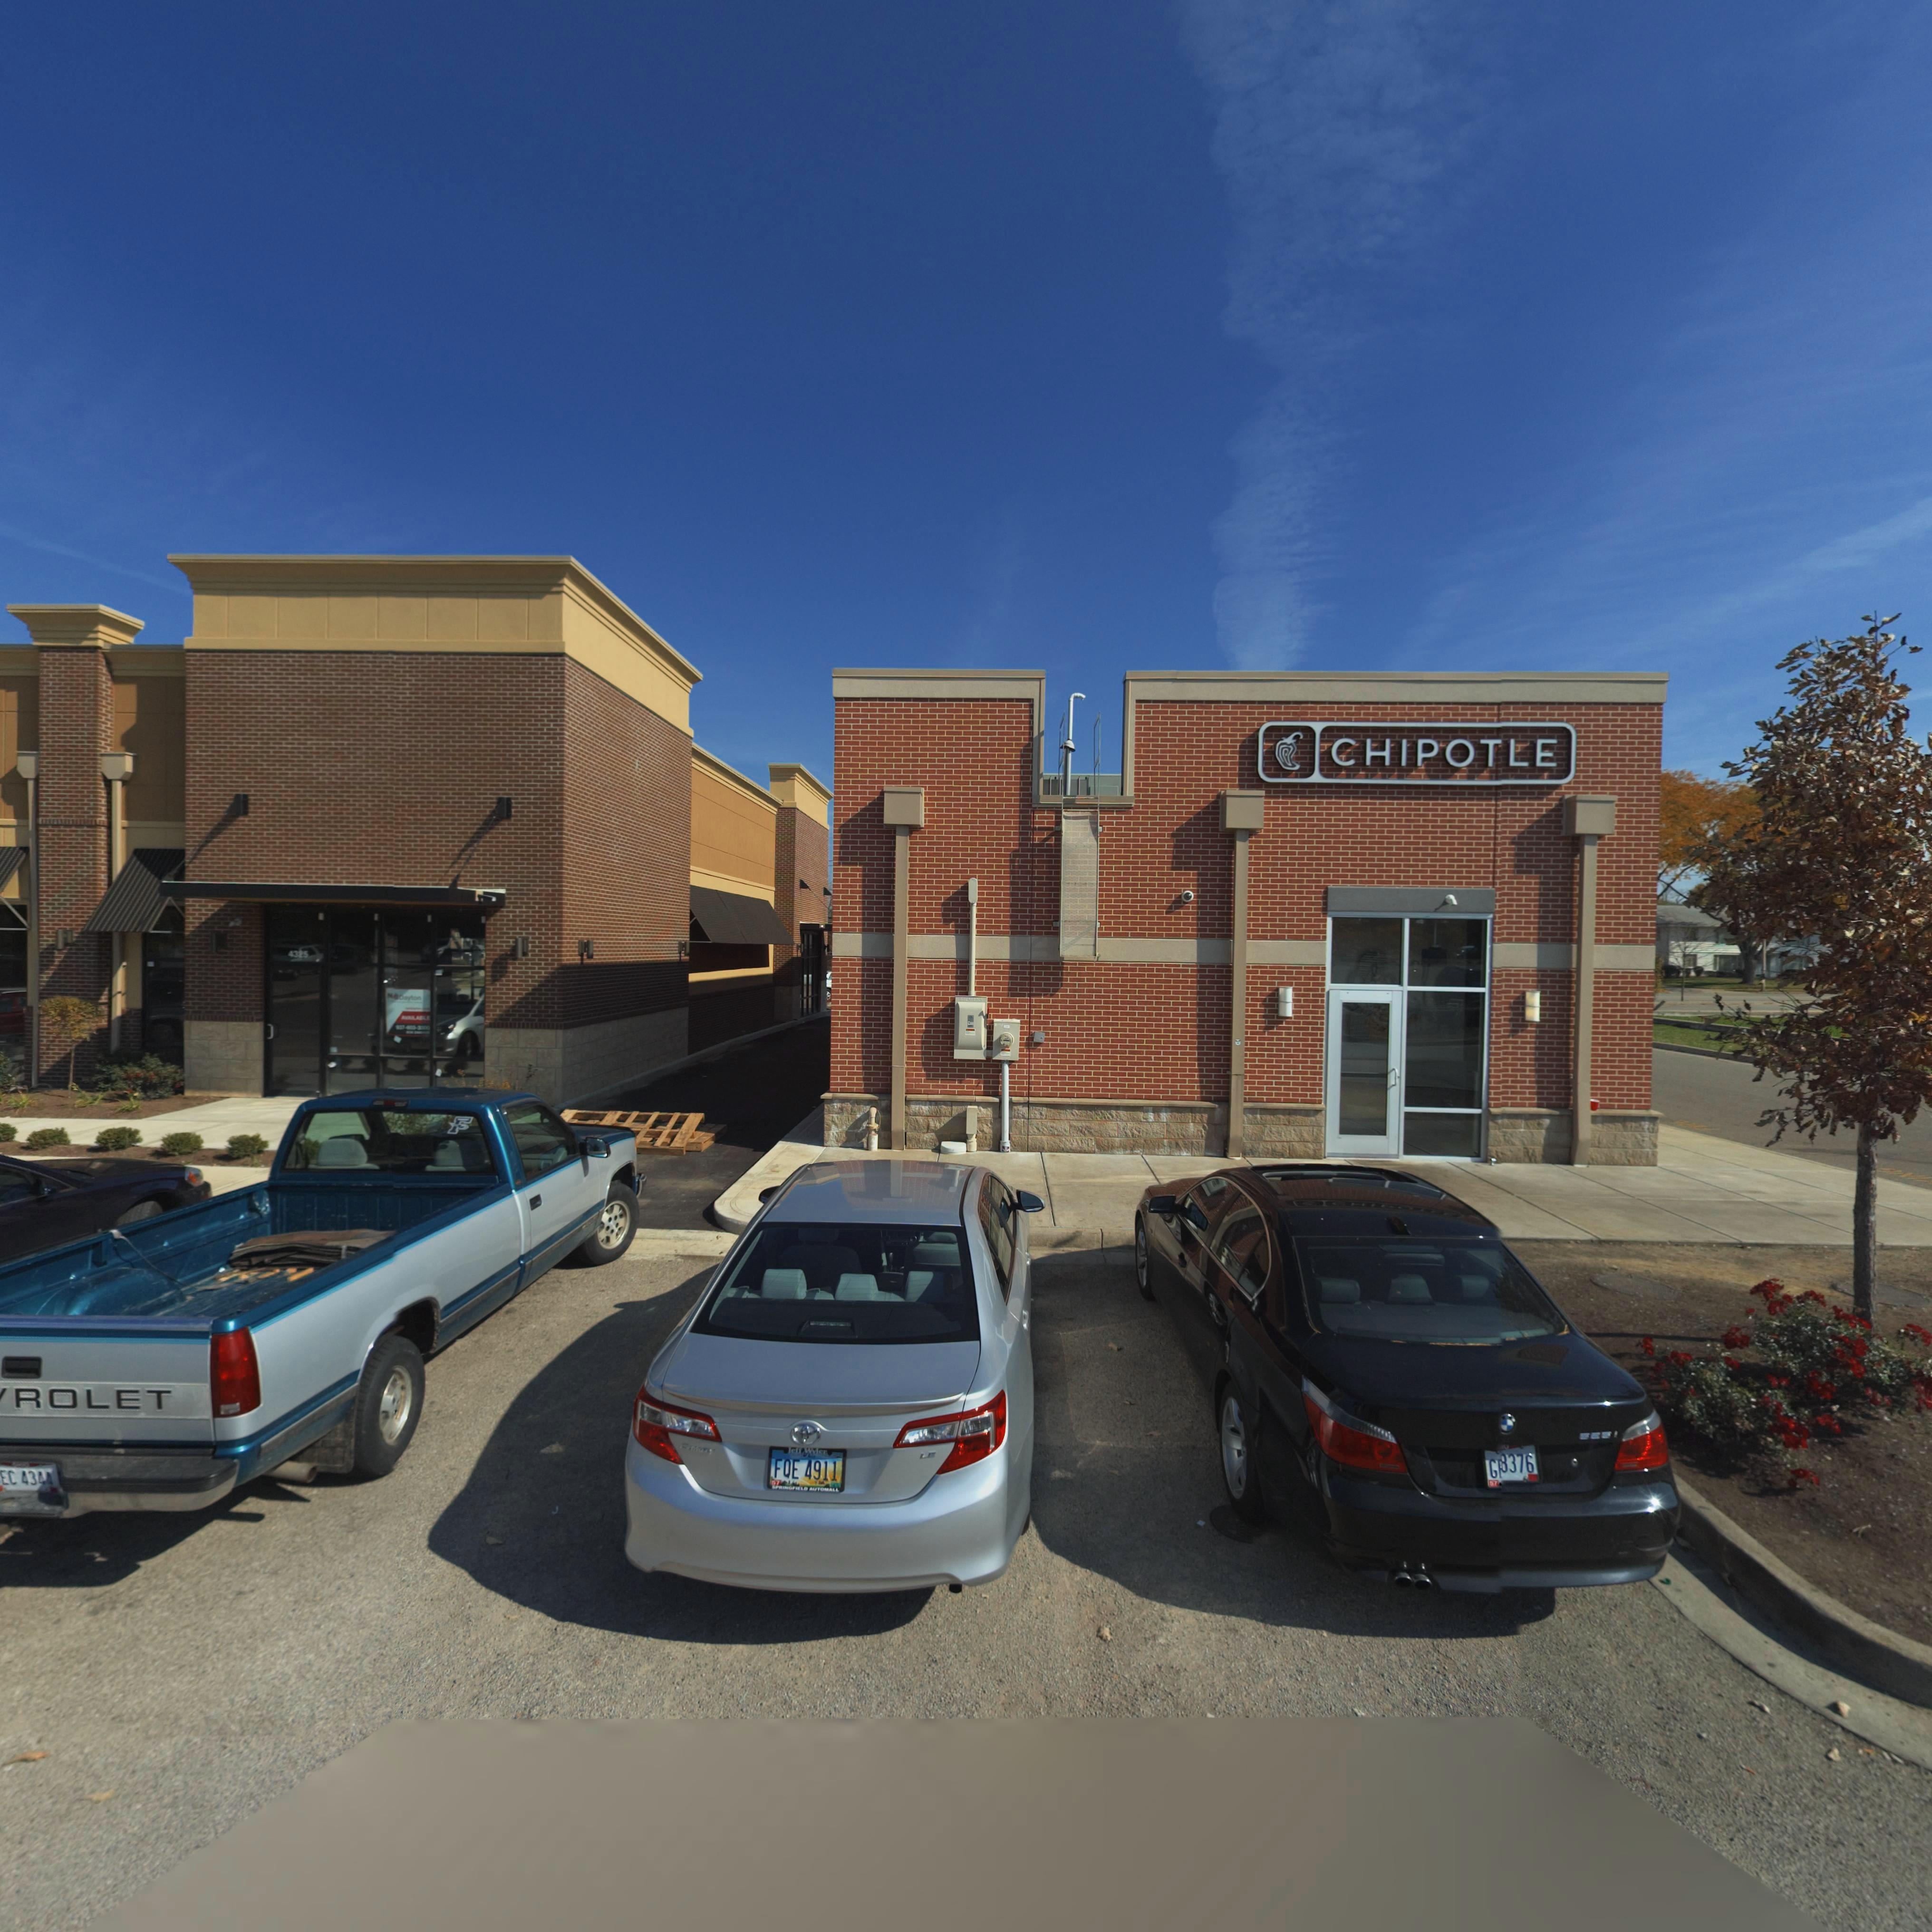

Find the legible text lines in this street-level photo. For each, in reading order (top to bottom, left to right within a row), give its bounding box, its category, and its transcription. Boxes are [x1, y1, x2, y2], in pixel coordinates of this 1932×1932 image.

[1330, 736, 1559, 768] BusinessName: CHIPOTLE
[286, 948, 310, 959] StreetNumber: 4325